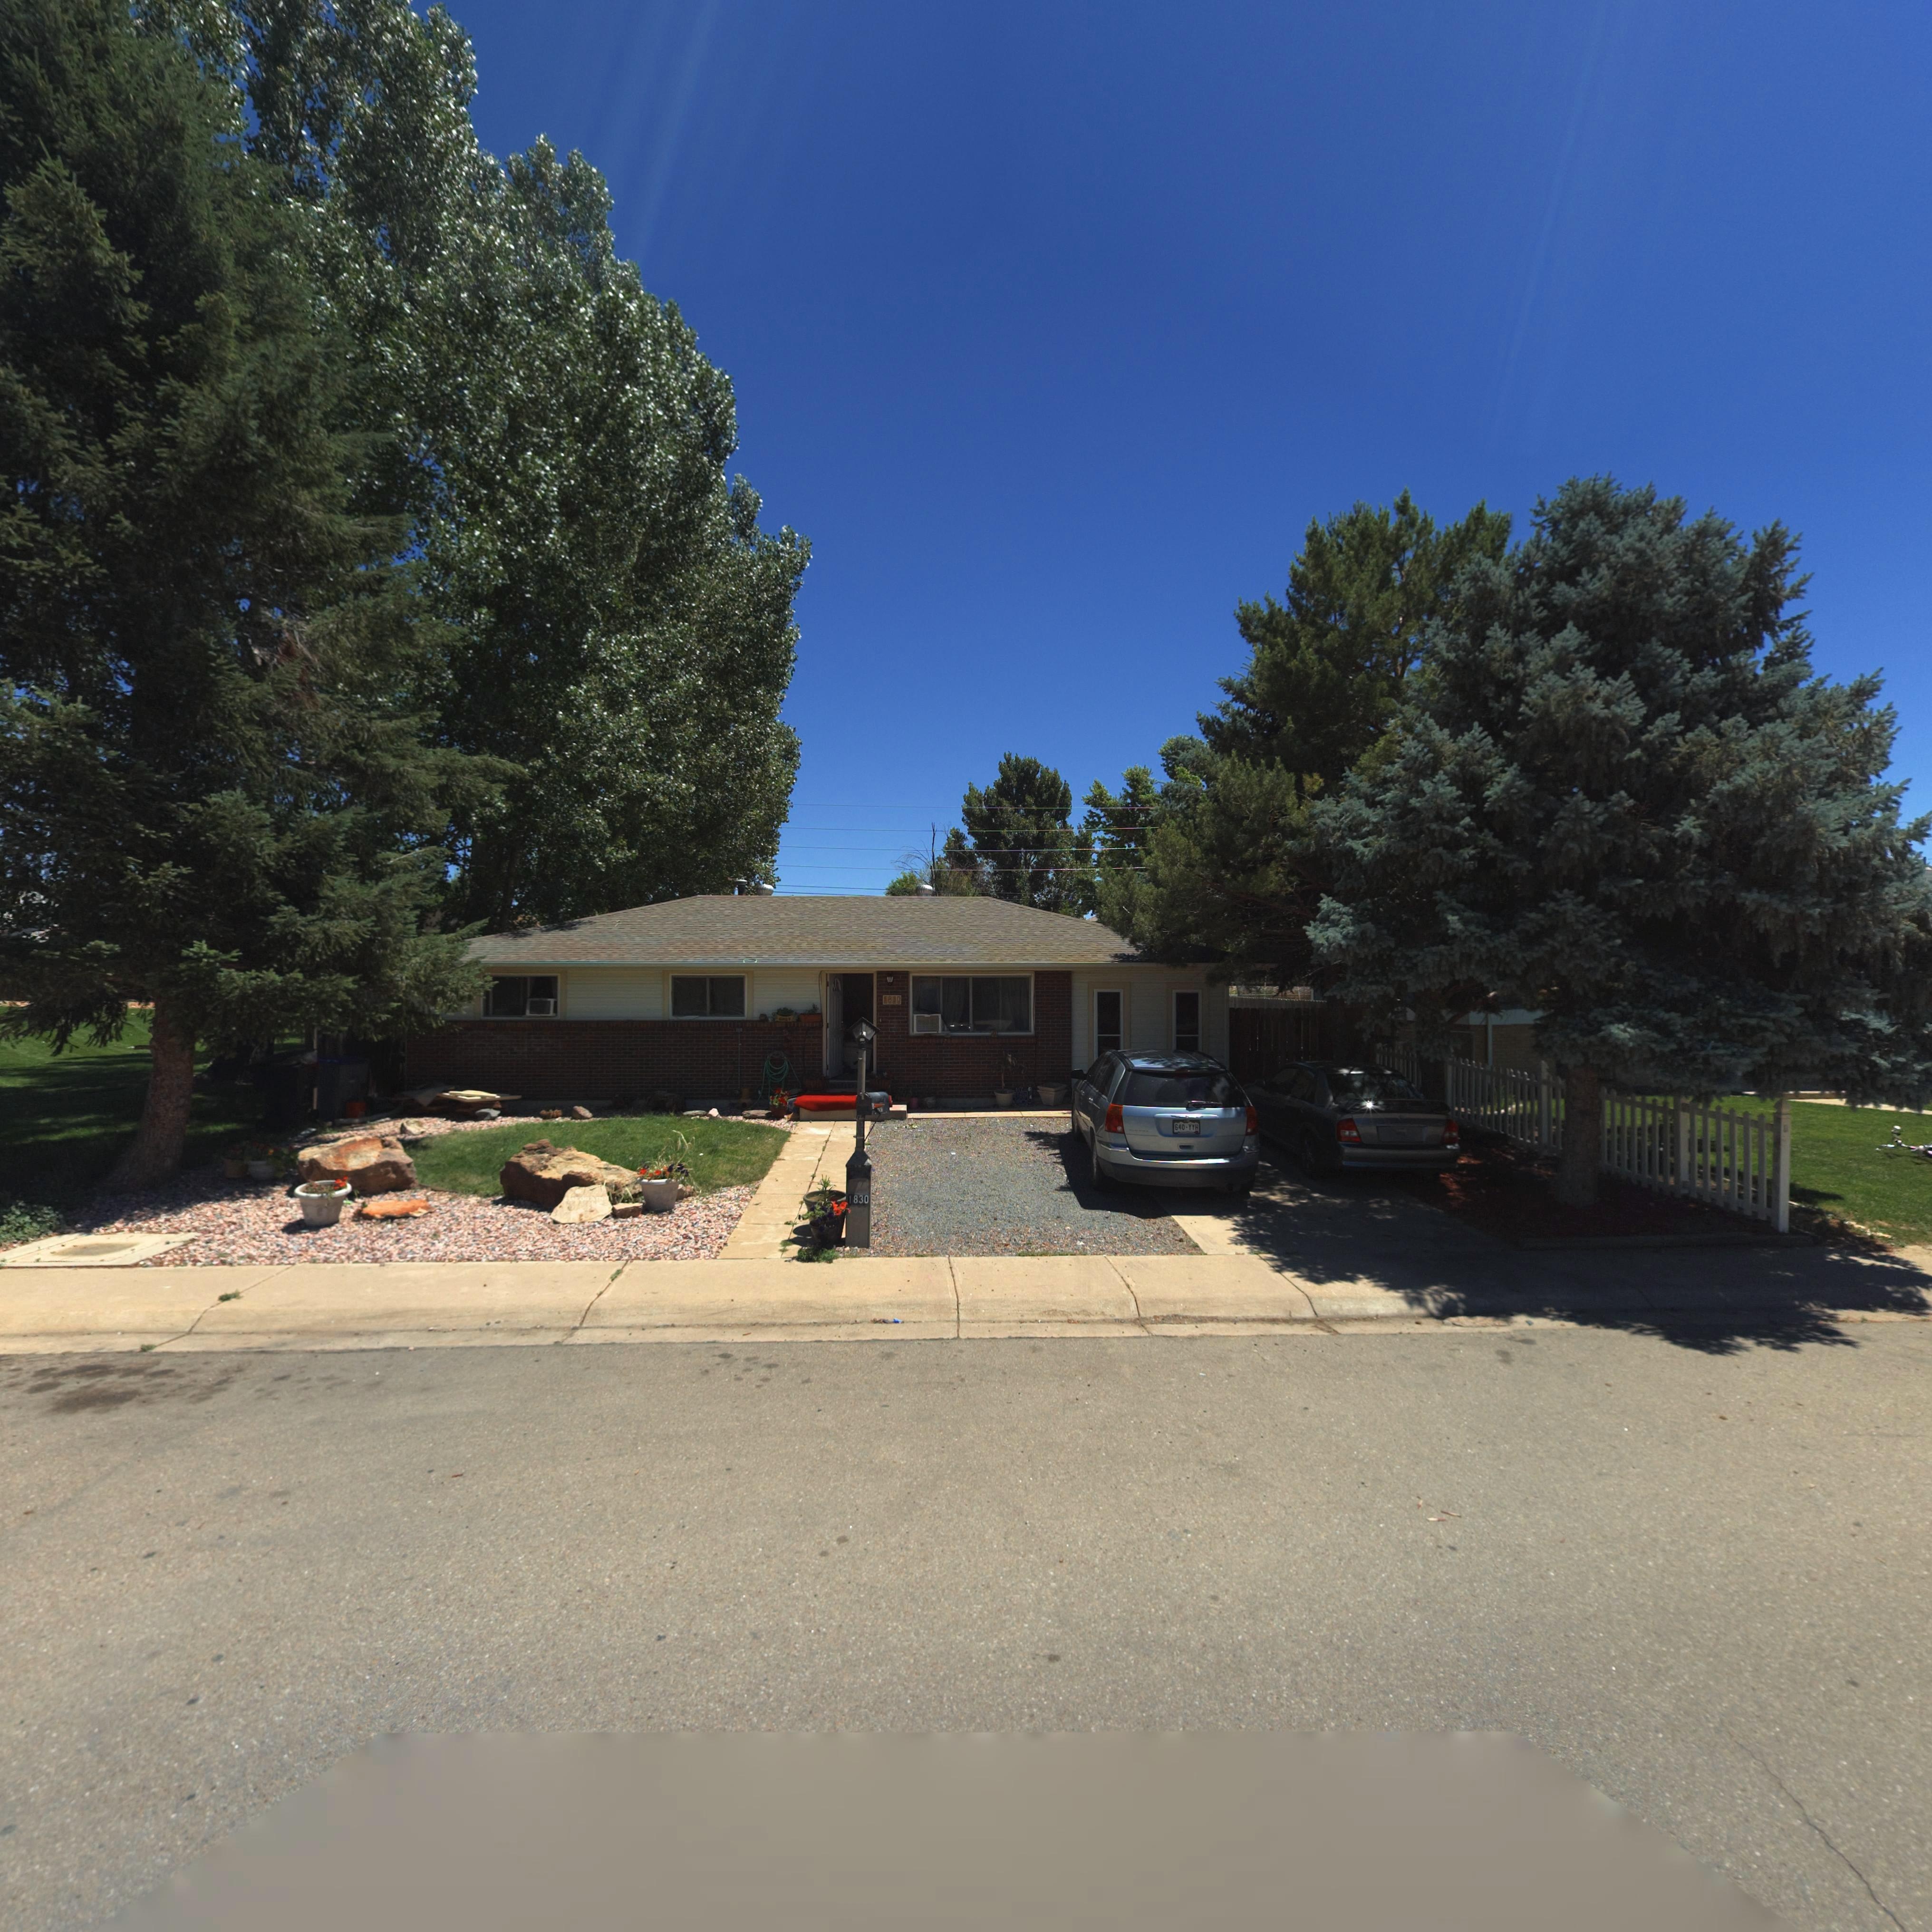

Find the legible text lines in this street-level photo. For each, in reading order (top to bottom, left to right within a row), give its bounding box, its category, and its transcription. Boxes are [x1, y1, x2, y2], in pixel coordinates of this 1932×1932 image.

[883, 995, 901, 1003] StreetNumber: 1830
[848, 1195, 869, 1204] StreetNumber: 1830